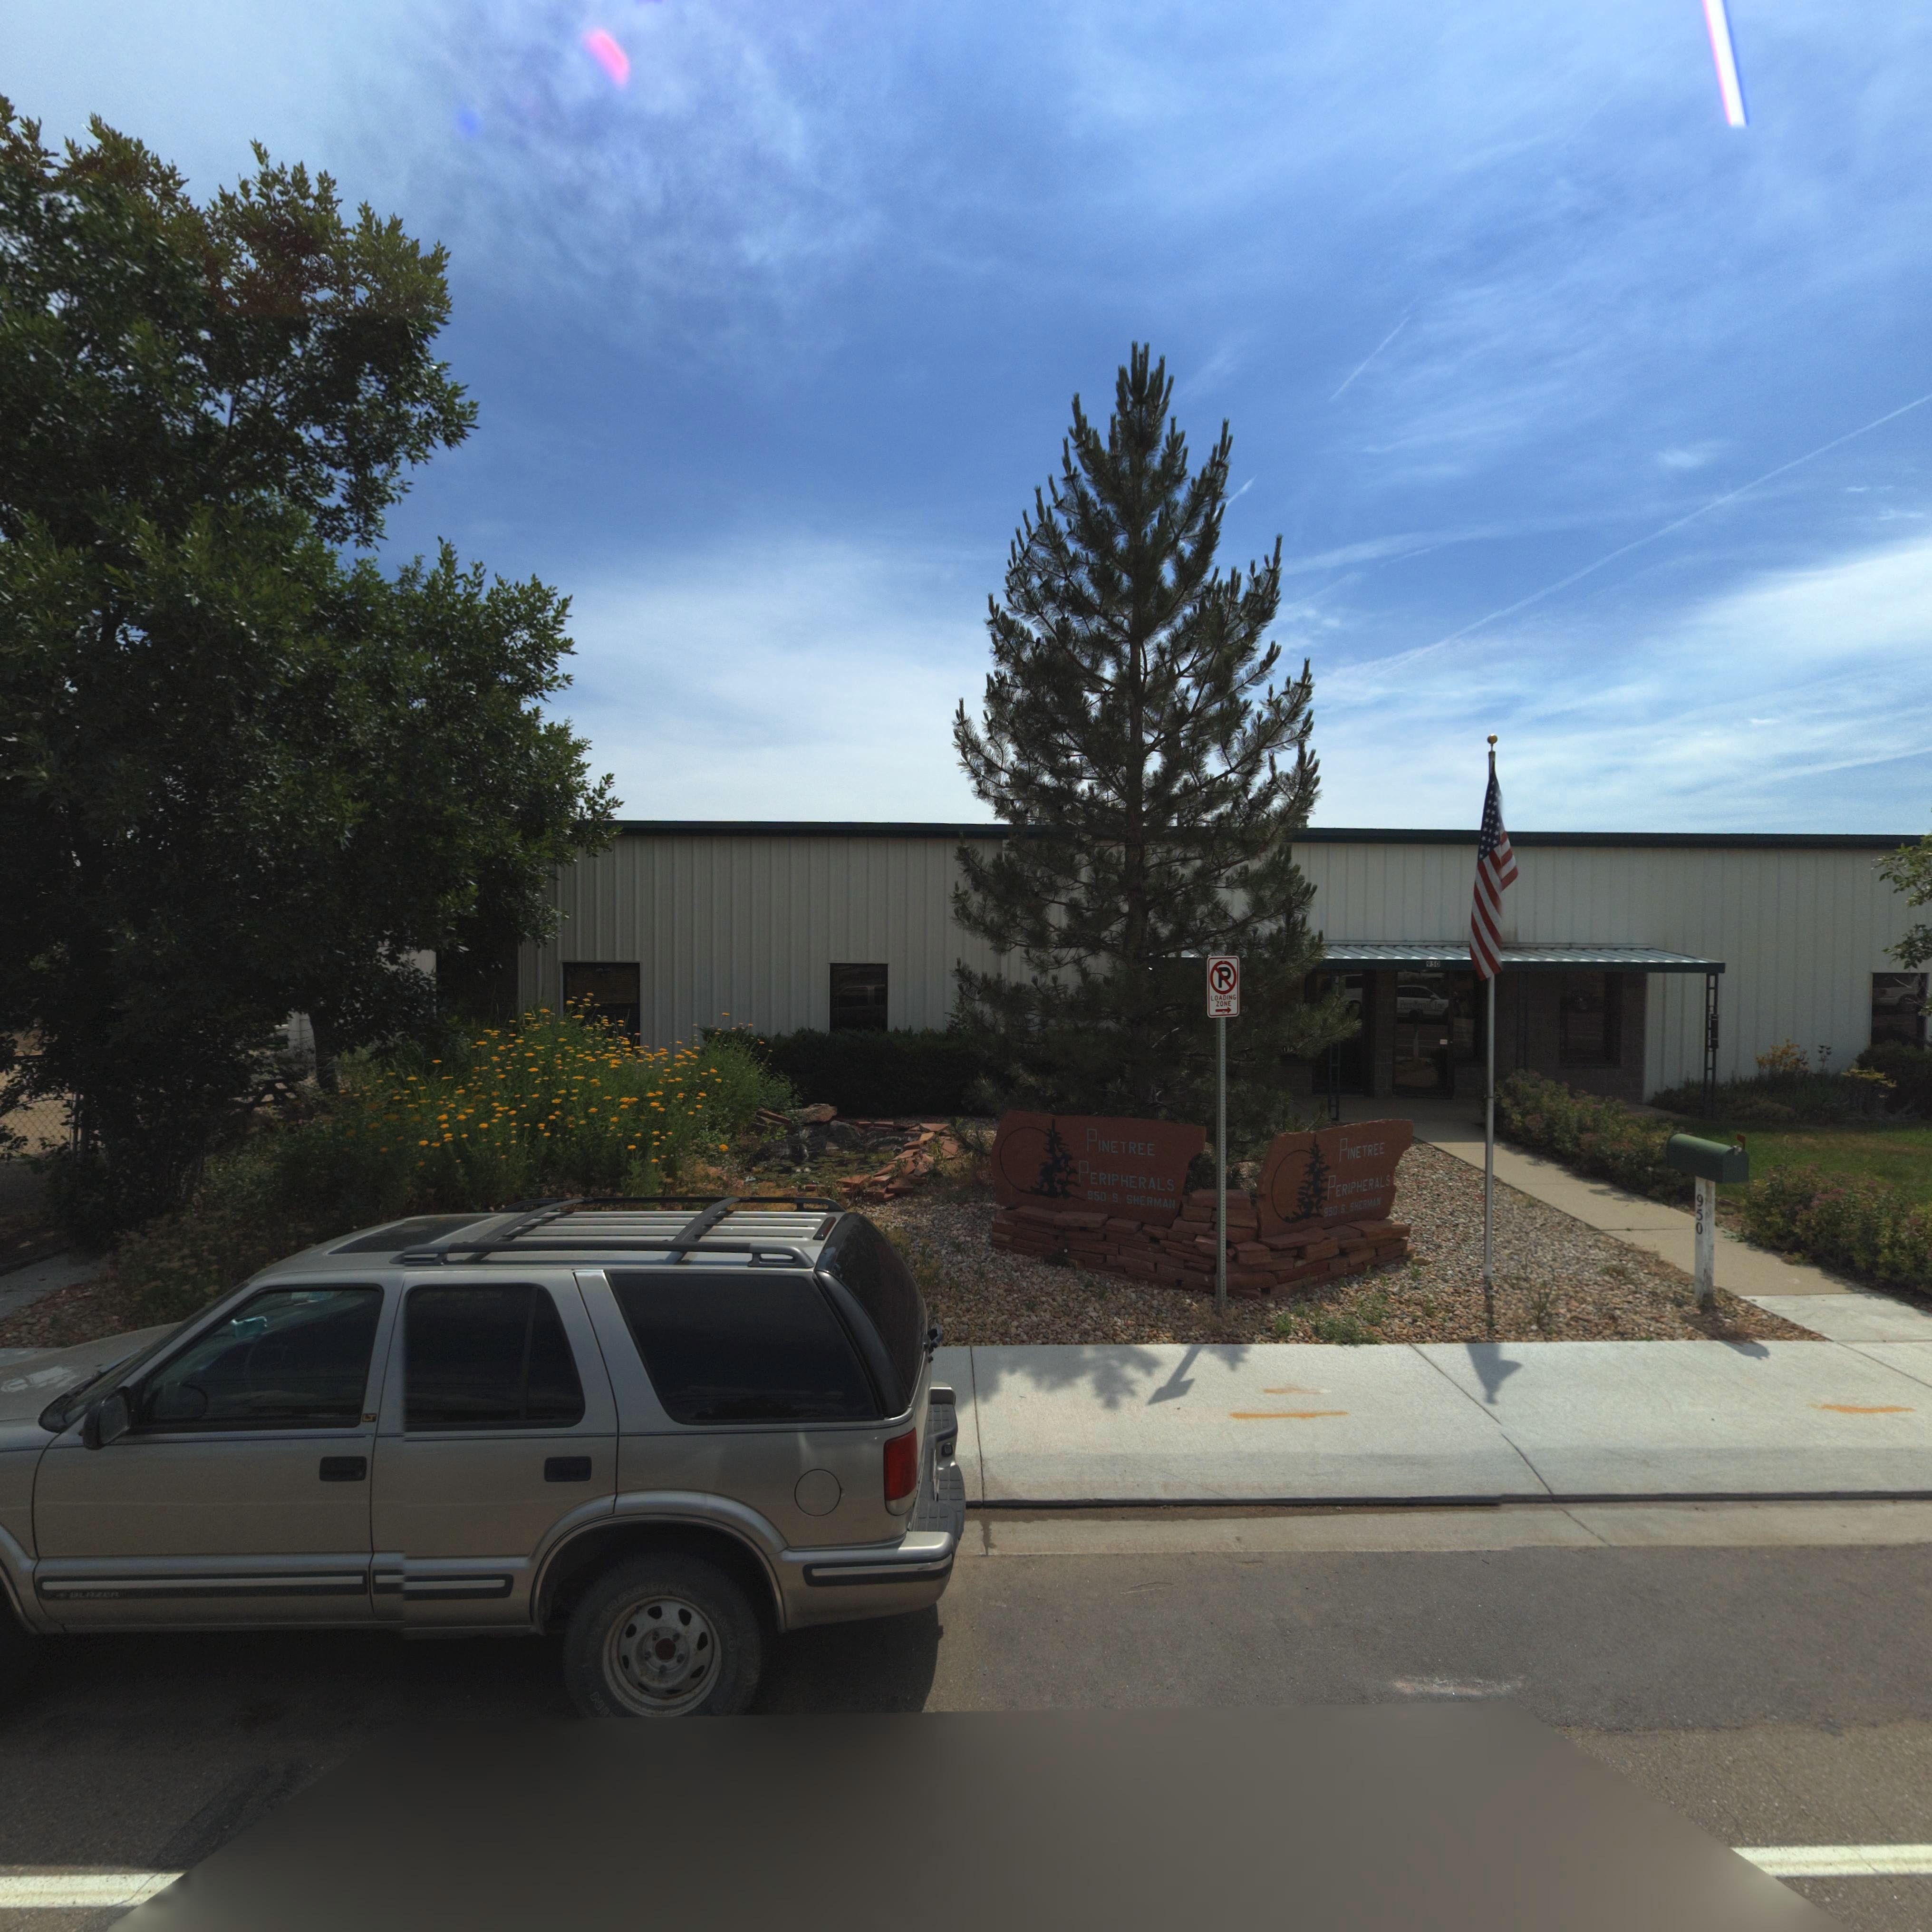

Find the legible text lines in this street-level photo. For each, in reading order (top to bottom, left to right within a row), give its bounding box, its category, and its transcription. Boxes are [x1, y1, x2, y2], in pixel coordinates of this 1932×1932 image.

[1086, 1128, 1156, 1157] BusinessName: PINETREE
[1339, 1137, 1384, 1162] BusinessName: PINETREE
[1087, 1190, 1106, 1201] StreetNumber: 950
[1078, 1159, 1174, 1191] BusinessName: PERIPHERALS
[1112, 1193, 1175, 1208] StreetName: S SHERMAN
[1323, 1205, 1337, 1217] StreetNumber: 850
[1327, 1174, 1391, 1200] BusinessName: PERIPHERALS
[1340, 1197, 1381, 1214] StreetName: S SHERMAN
[1695, 1194, 1703, 1235] StreetNumber: 950